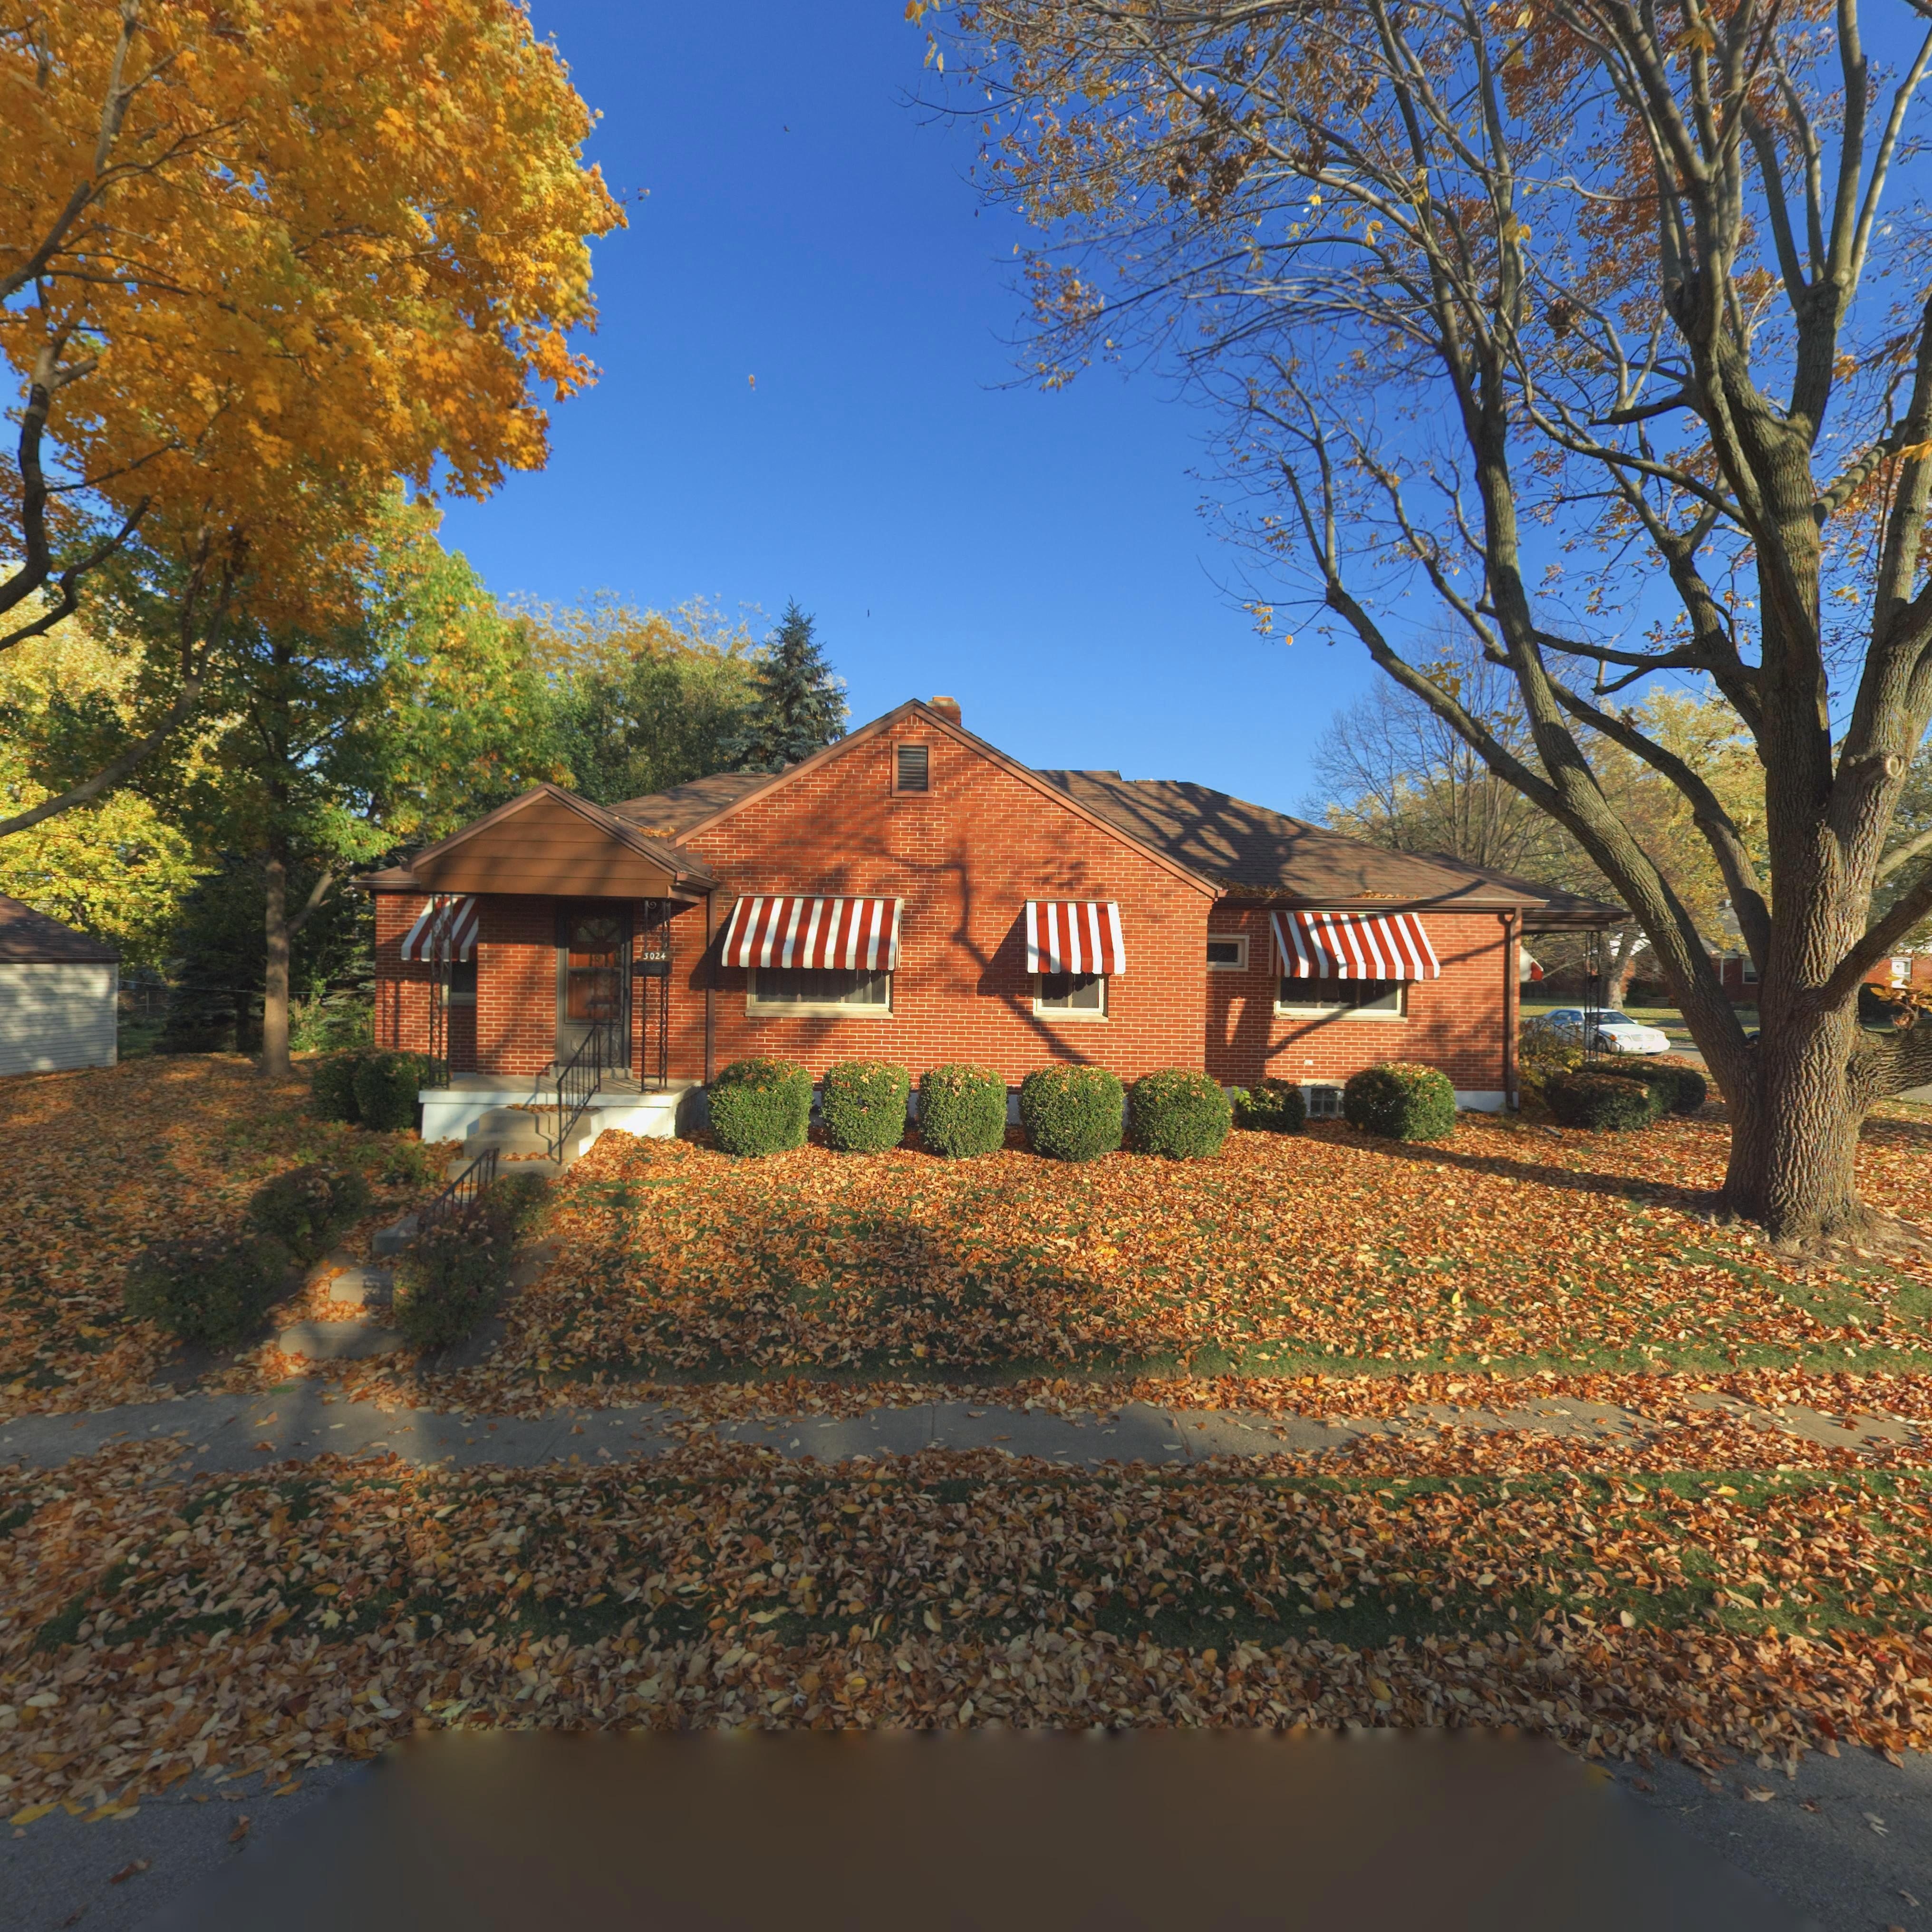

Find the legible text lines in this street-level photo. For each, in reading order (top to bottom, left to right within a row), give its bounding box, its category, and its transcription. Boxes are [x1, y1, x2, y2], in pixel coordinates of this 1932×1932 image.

[643, 952, 667, 960] StreetNumber: 3024